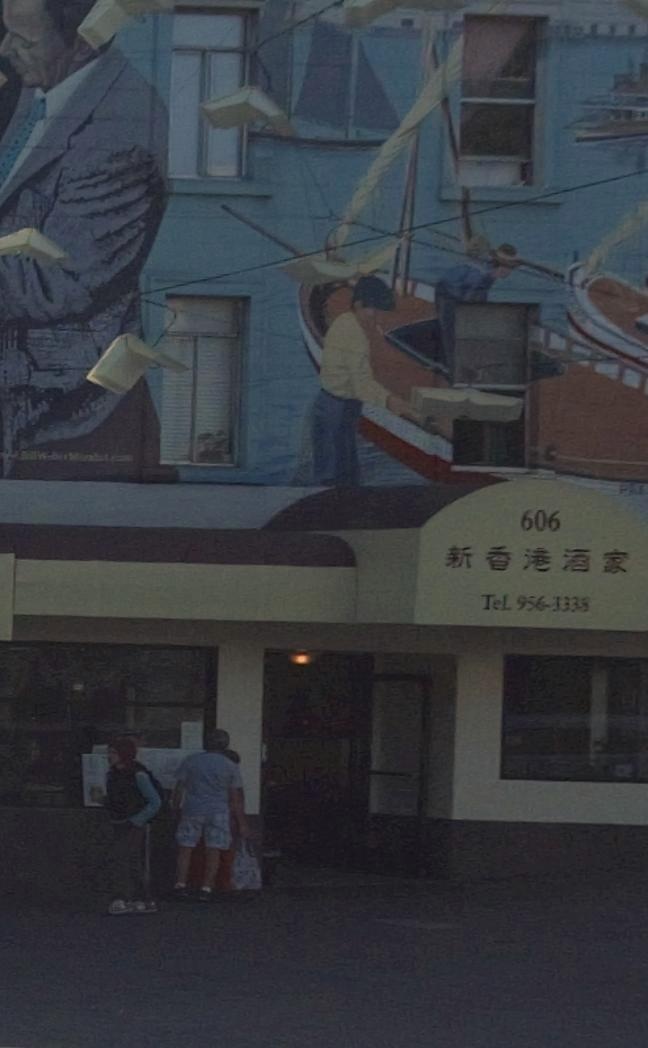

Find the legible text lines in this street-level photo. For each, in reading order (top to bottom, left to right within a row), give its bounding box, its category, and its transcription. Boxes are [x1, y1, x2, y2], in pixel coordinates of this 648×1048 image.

[518, 507, 562, 534] StreetNumber: 606
[479, 591, 594, 615] None: Tel. 956-3338